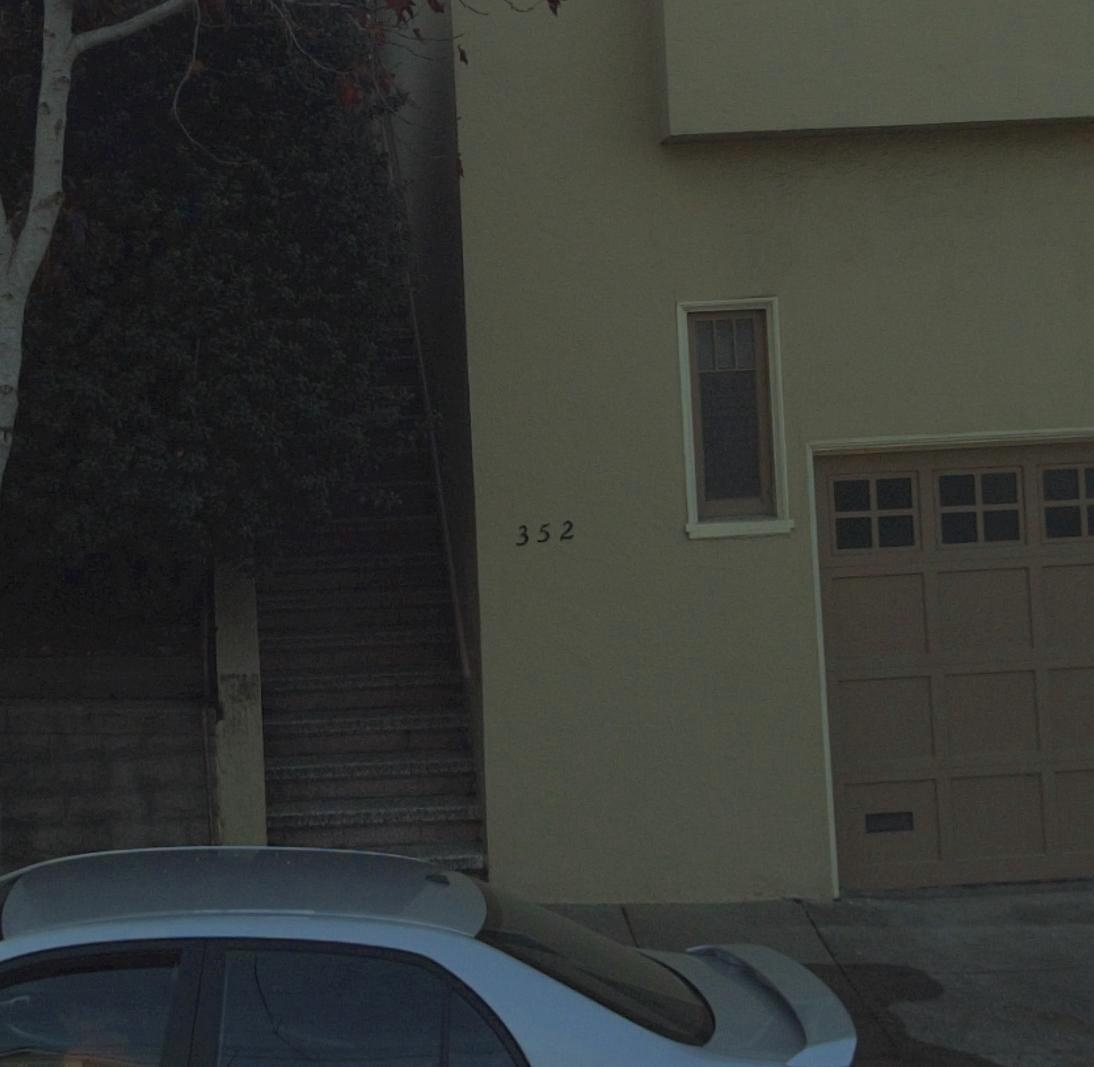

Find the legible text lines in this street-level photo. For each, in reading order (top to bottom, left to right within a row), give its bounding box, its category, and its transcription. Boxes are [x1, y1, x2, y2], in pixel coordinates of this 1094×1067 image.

[515, 518, 575, 547] StreetNumber: 352